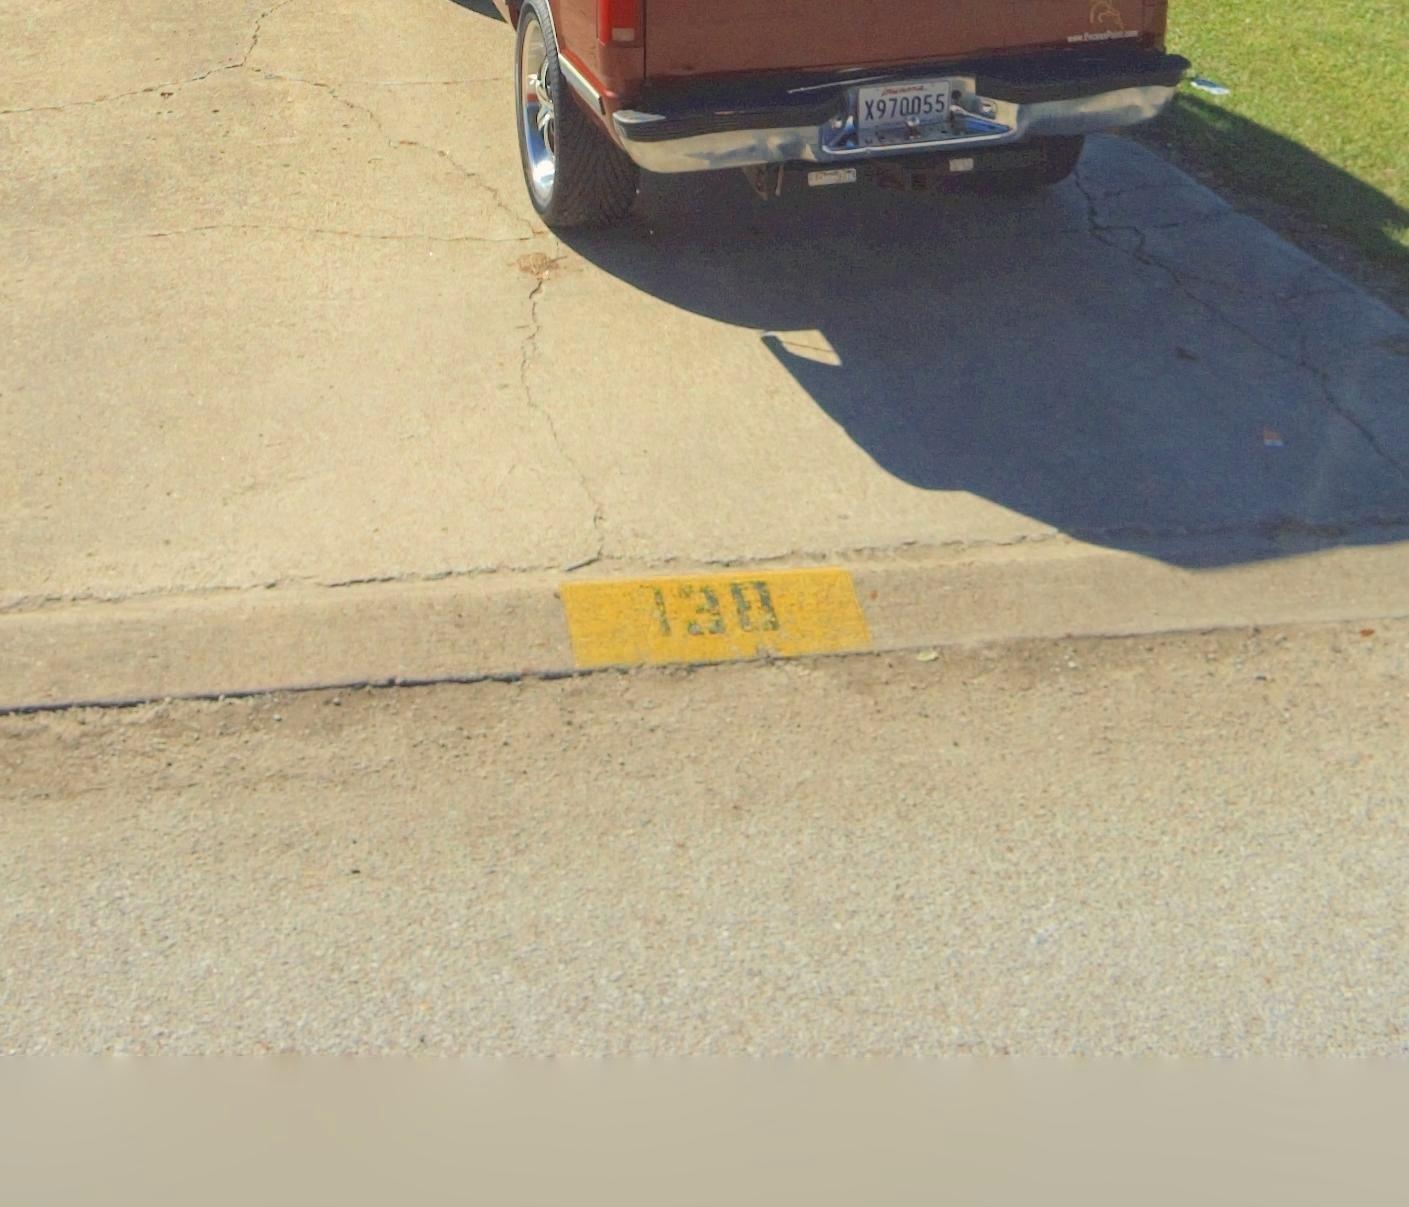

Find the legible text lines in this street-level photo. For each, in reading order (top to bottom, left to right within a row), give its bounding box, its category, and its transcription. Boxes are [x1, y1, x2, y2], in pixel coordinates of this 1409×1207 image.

[864, 93, 945, 122] None: X970055
[646, 579, 781, 639] StreetNumber: 138